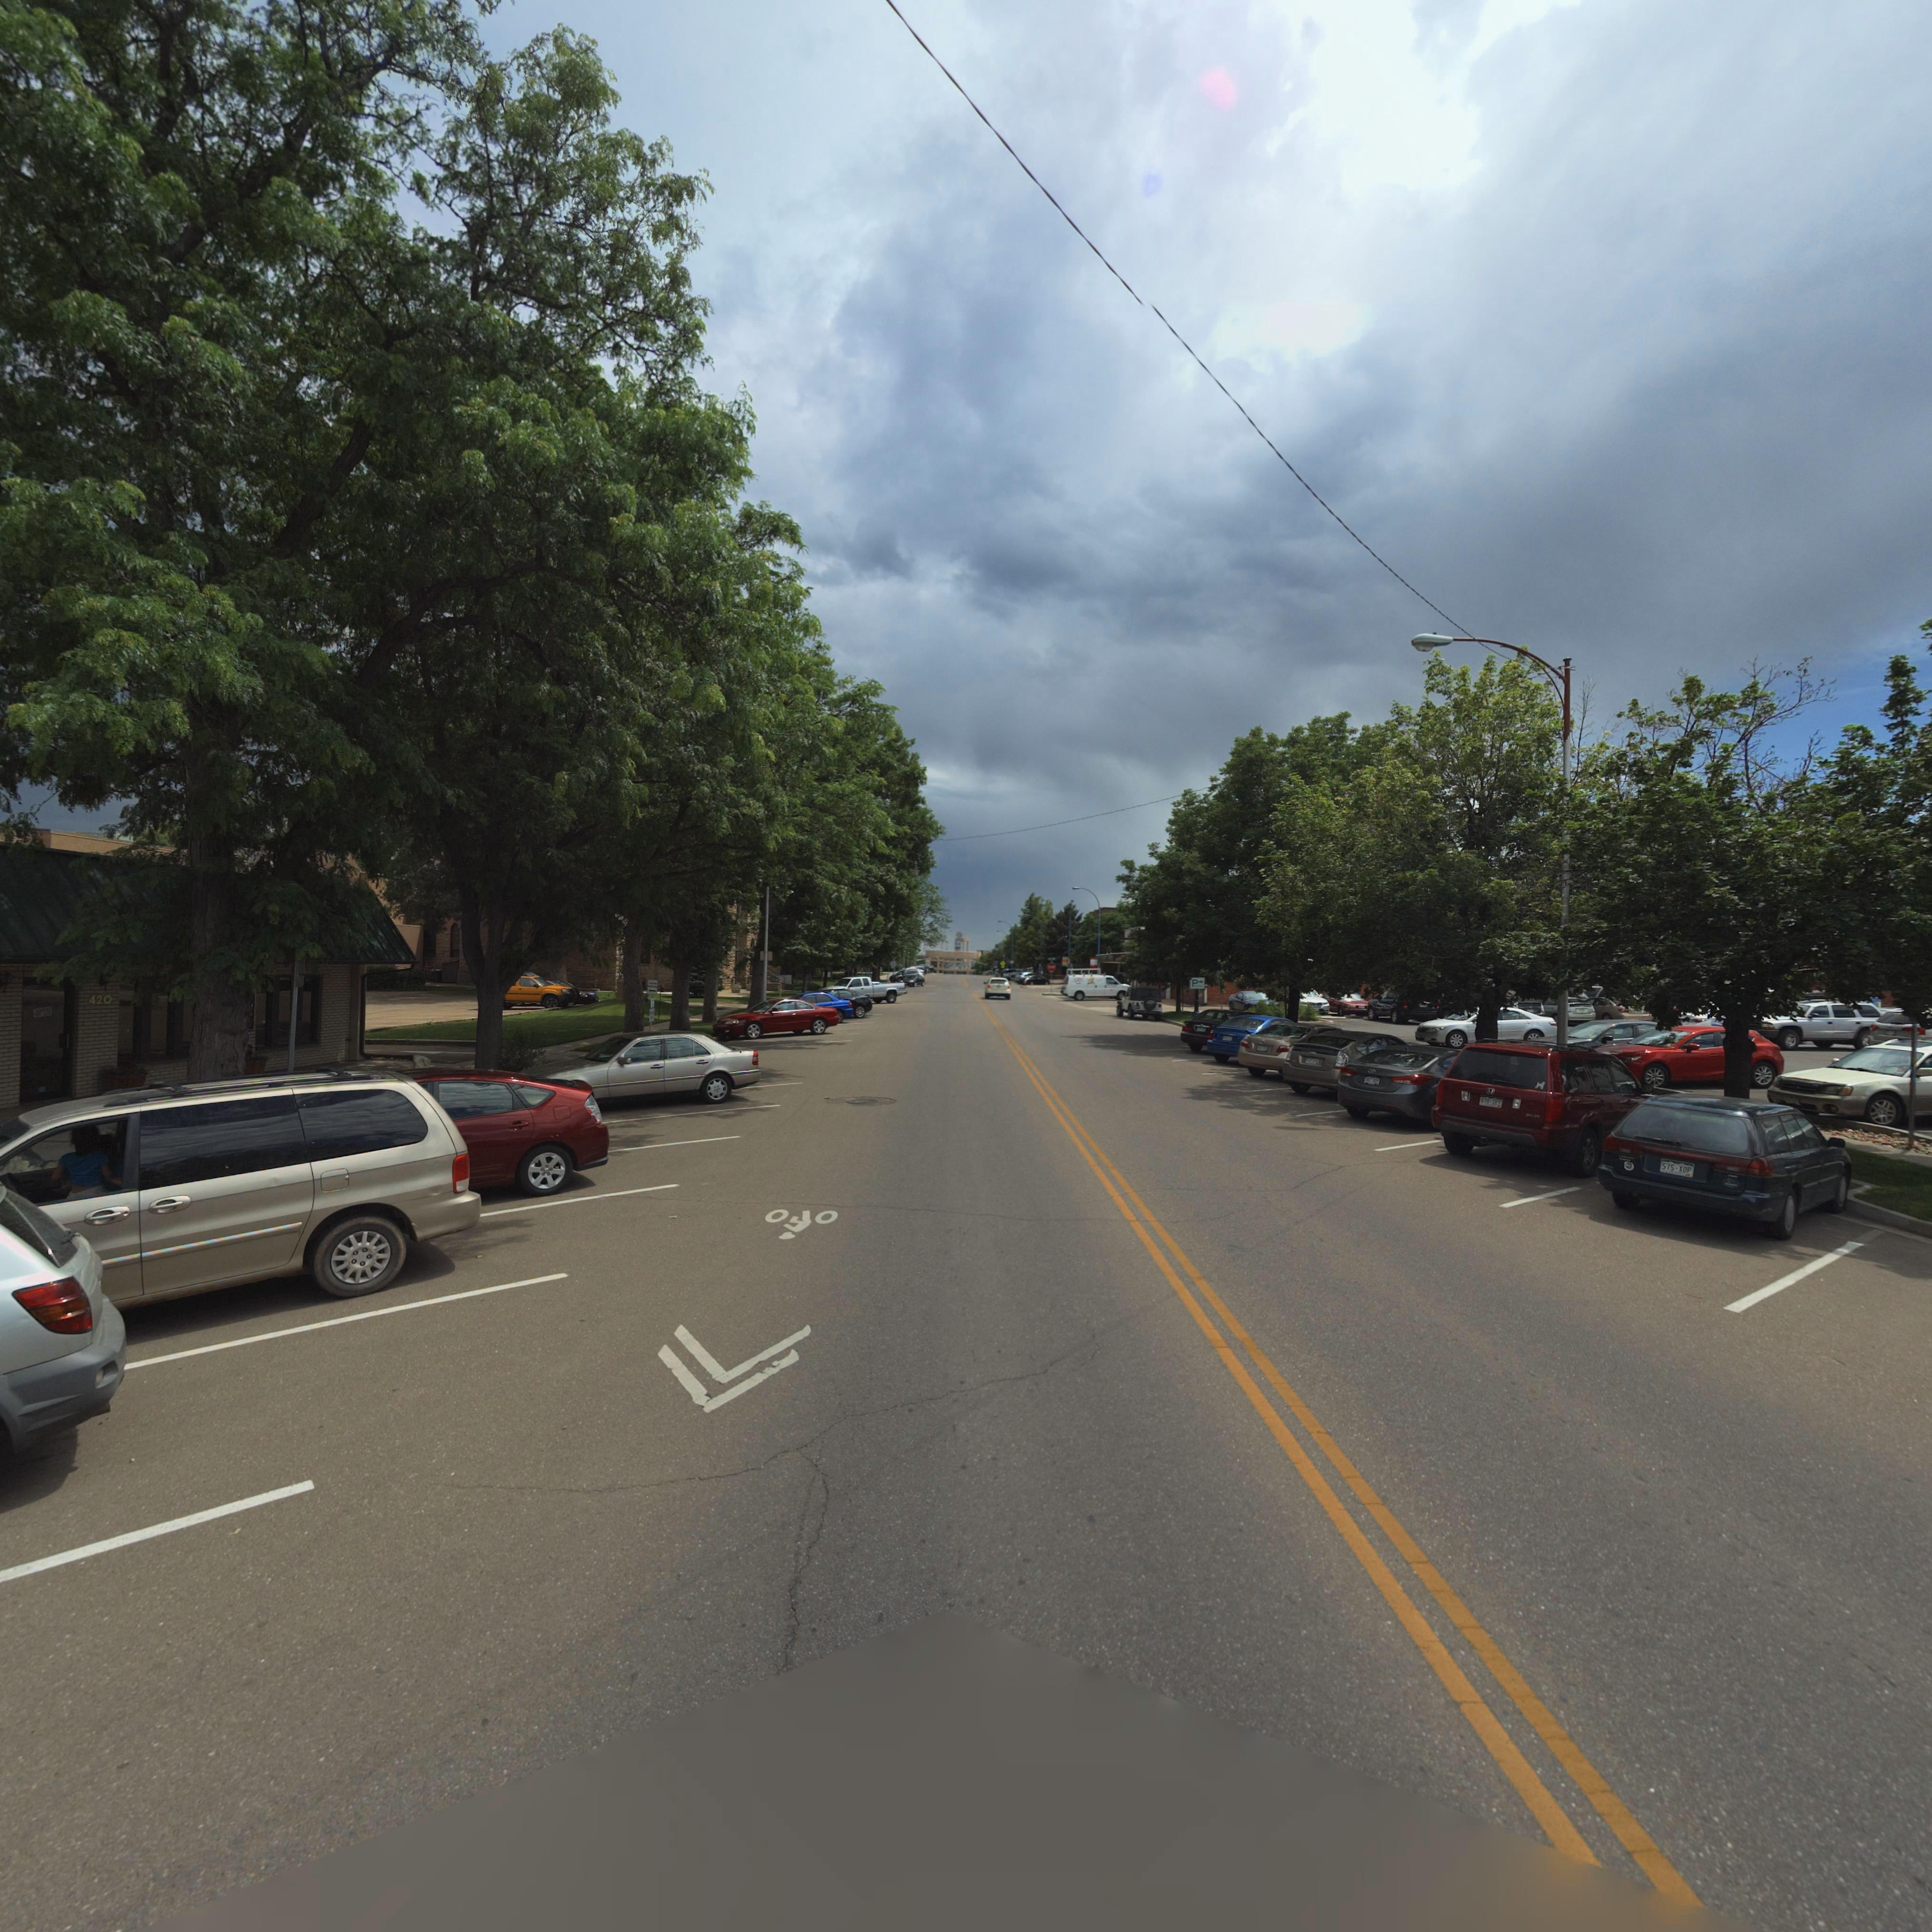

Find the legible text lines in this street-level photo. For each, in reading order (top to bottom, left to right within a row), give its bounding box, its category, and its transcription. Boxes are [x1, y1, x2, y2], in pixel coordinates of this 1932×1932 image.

[88, 994, 113, 1005] StreetNumber: 420